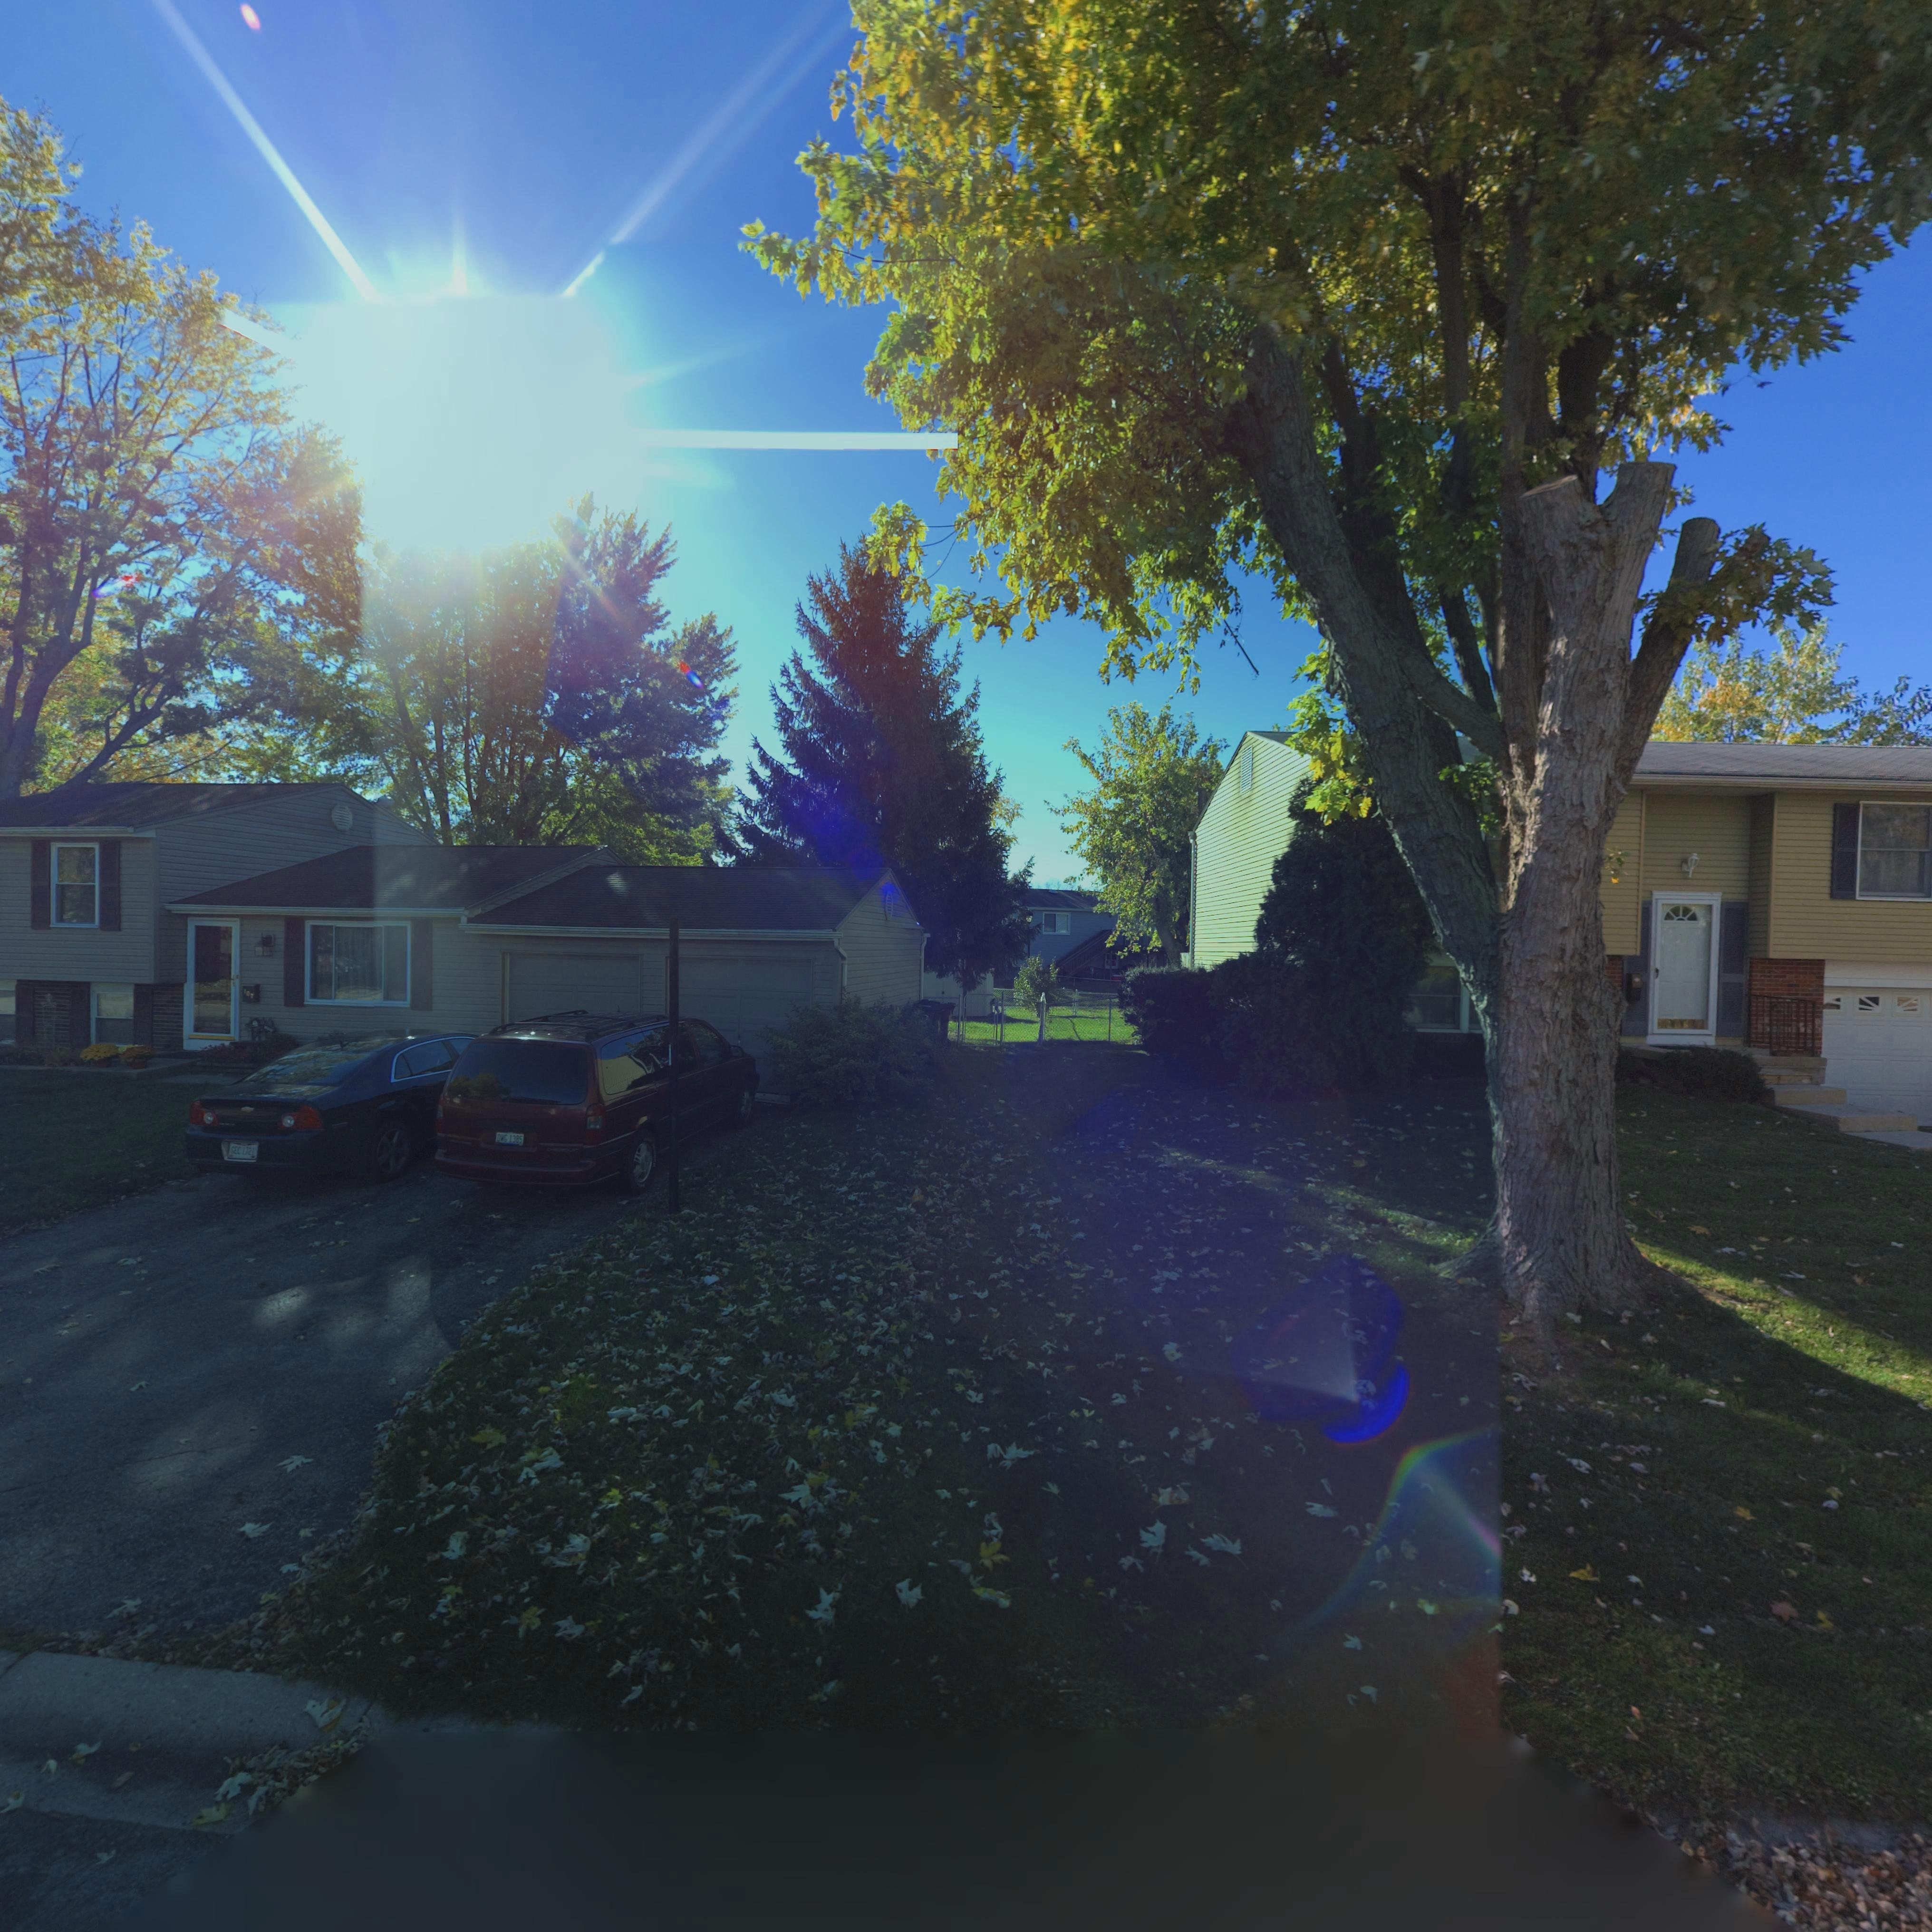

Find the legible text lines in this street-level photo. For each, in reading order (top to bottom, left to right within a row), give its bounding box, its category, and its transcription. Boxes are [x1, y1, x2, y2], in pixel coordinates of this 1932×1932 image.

[243, 988, 255, 999] StreetNumber: 107